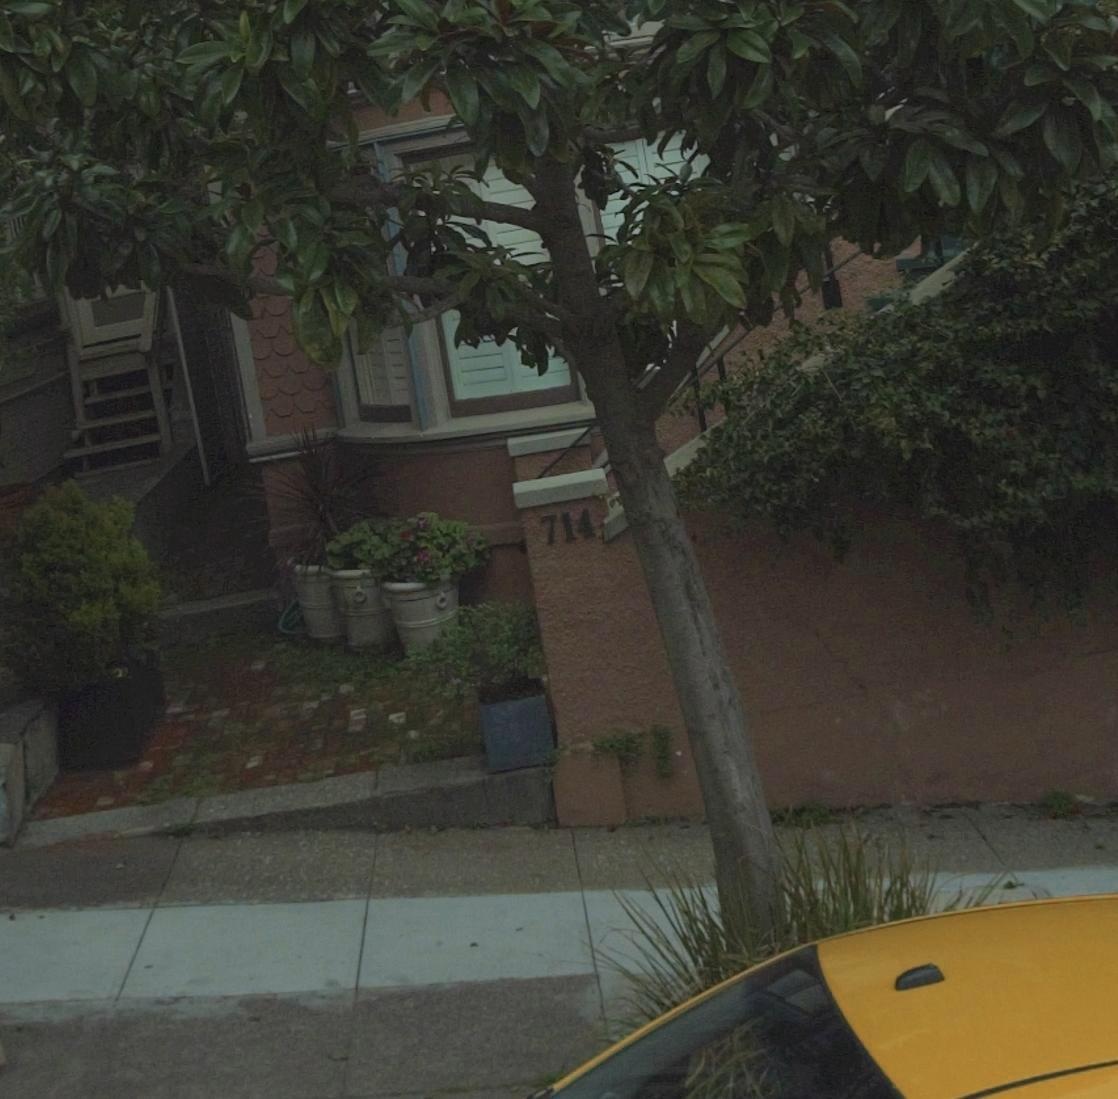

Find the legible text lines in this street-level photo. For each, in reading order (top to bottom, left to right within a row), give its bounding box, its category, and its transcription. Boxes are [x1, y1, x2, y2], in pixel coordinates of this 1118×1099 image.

[537, 507, 600, 547] StreetNumber: 714